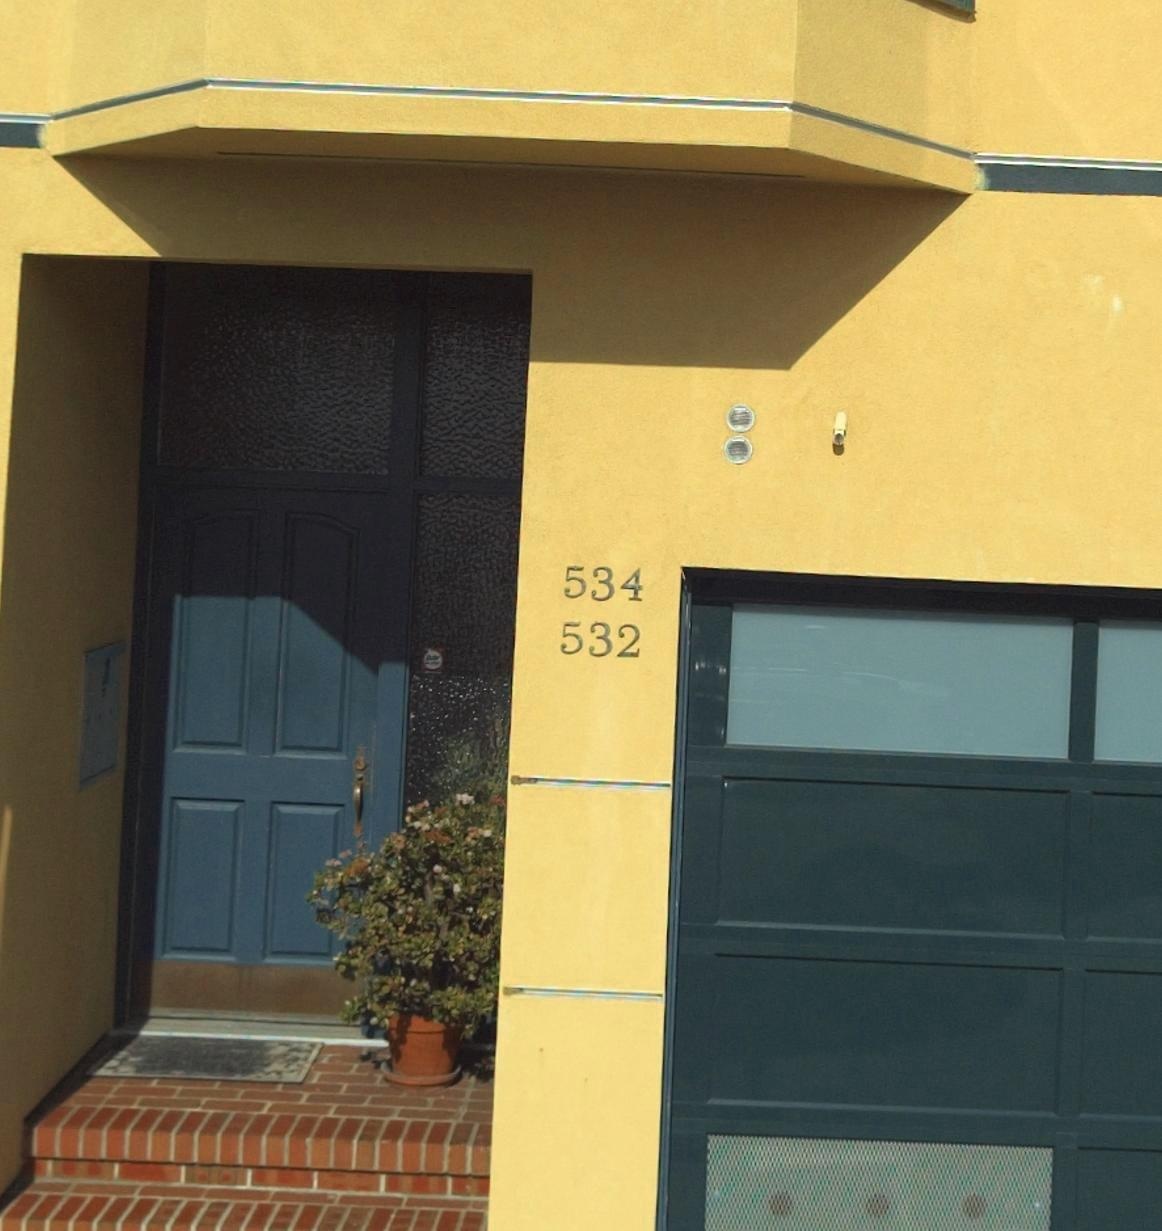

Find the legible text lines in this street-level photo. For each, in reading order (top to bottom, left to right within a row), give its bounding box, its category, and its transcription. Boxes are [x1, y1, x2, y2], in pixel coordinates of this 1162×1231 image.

[563, 564, 645, 605] StreetNumber: 534
[560, 619, 641, 659] StreetNumber: 532